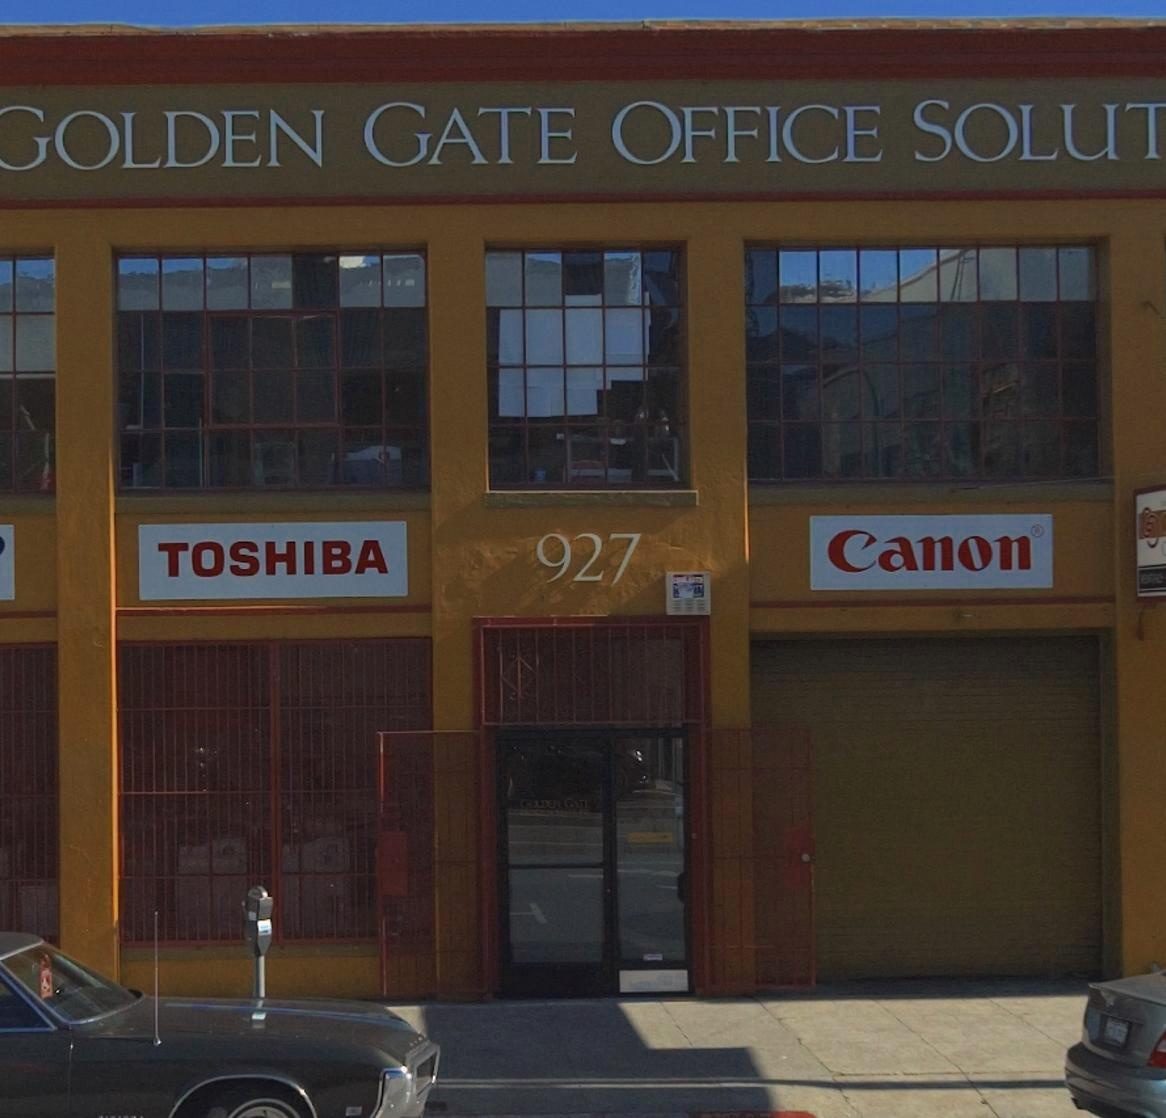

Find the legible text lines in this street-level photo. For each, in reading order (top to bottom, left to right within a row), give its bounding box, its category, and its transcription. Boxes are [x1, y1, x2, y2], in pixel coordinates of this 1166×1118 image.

[53, 96, 1122, 172] BusinessName: OLDEN GATE OFFICE SOLU
[154, 538, 391, 579] None: TOSHIBA
[534, 530, 647, 589] StreetNumber: 927
[825, 529, 1033, 574] None: Canon
[518, 797, 590, 810] BusinessName: GOLDEN GATE